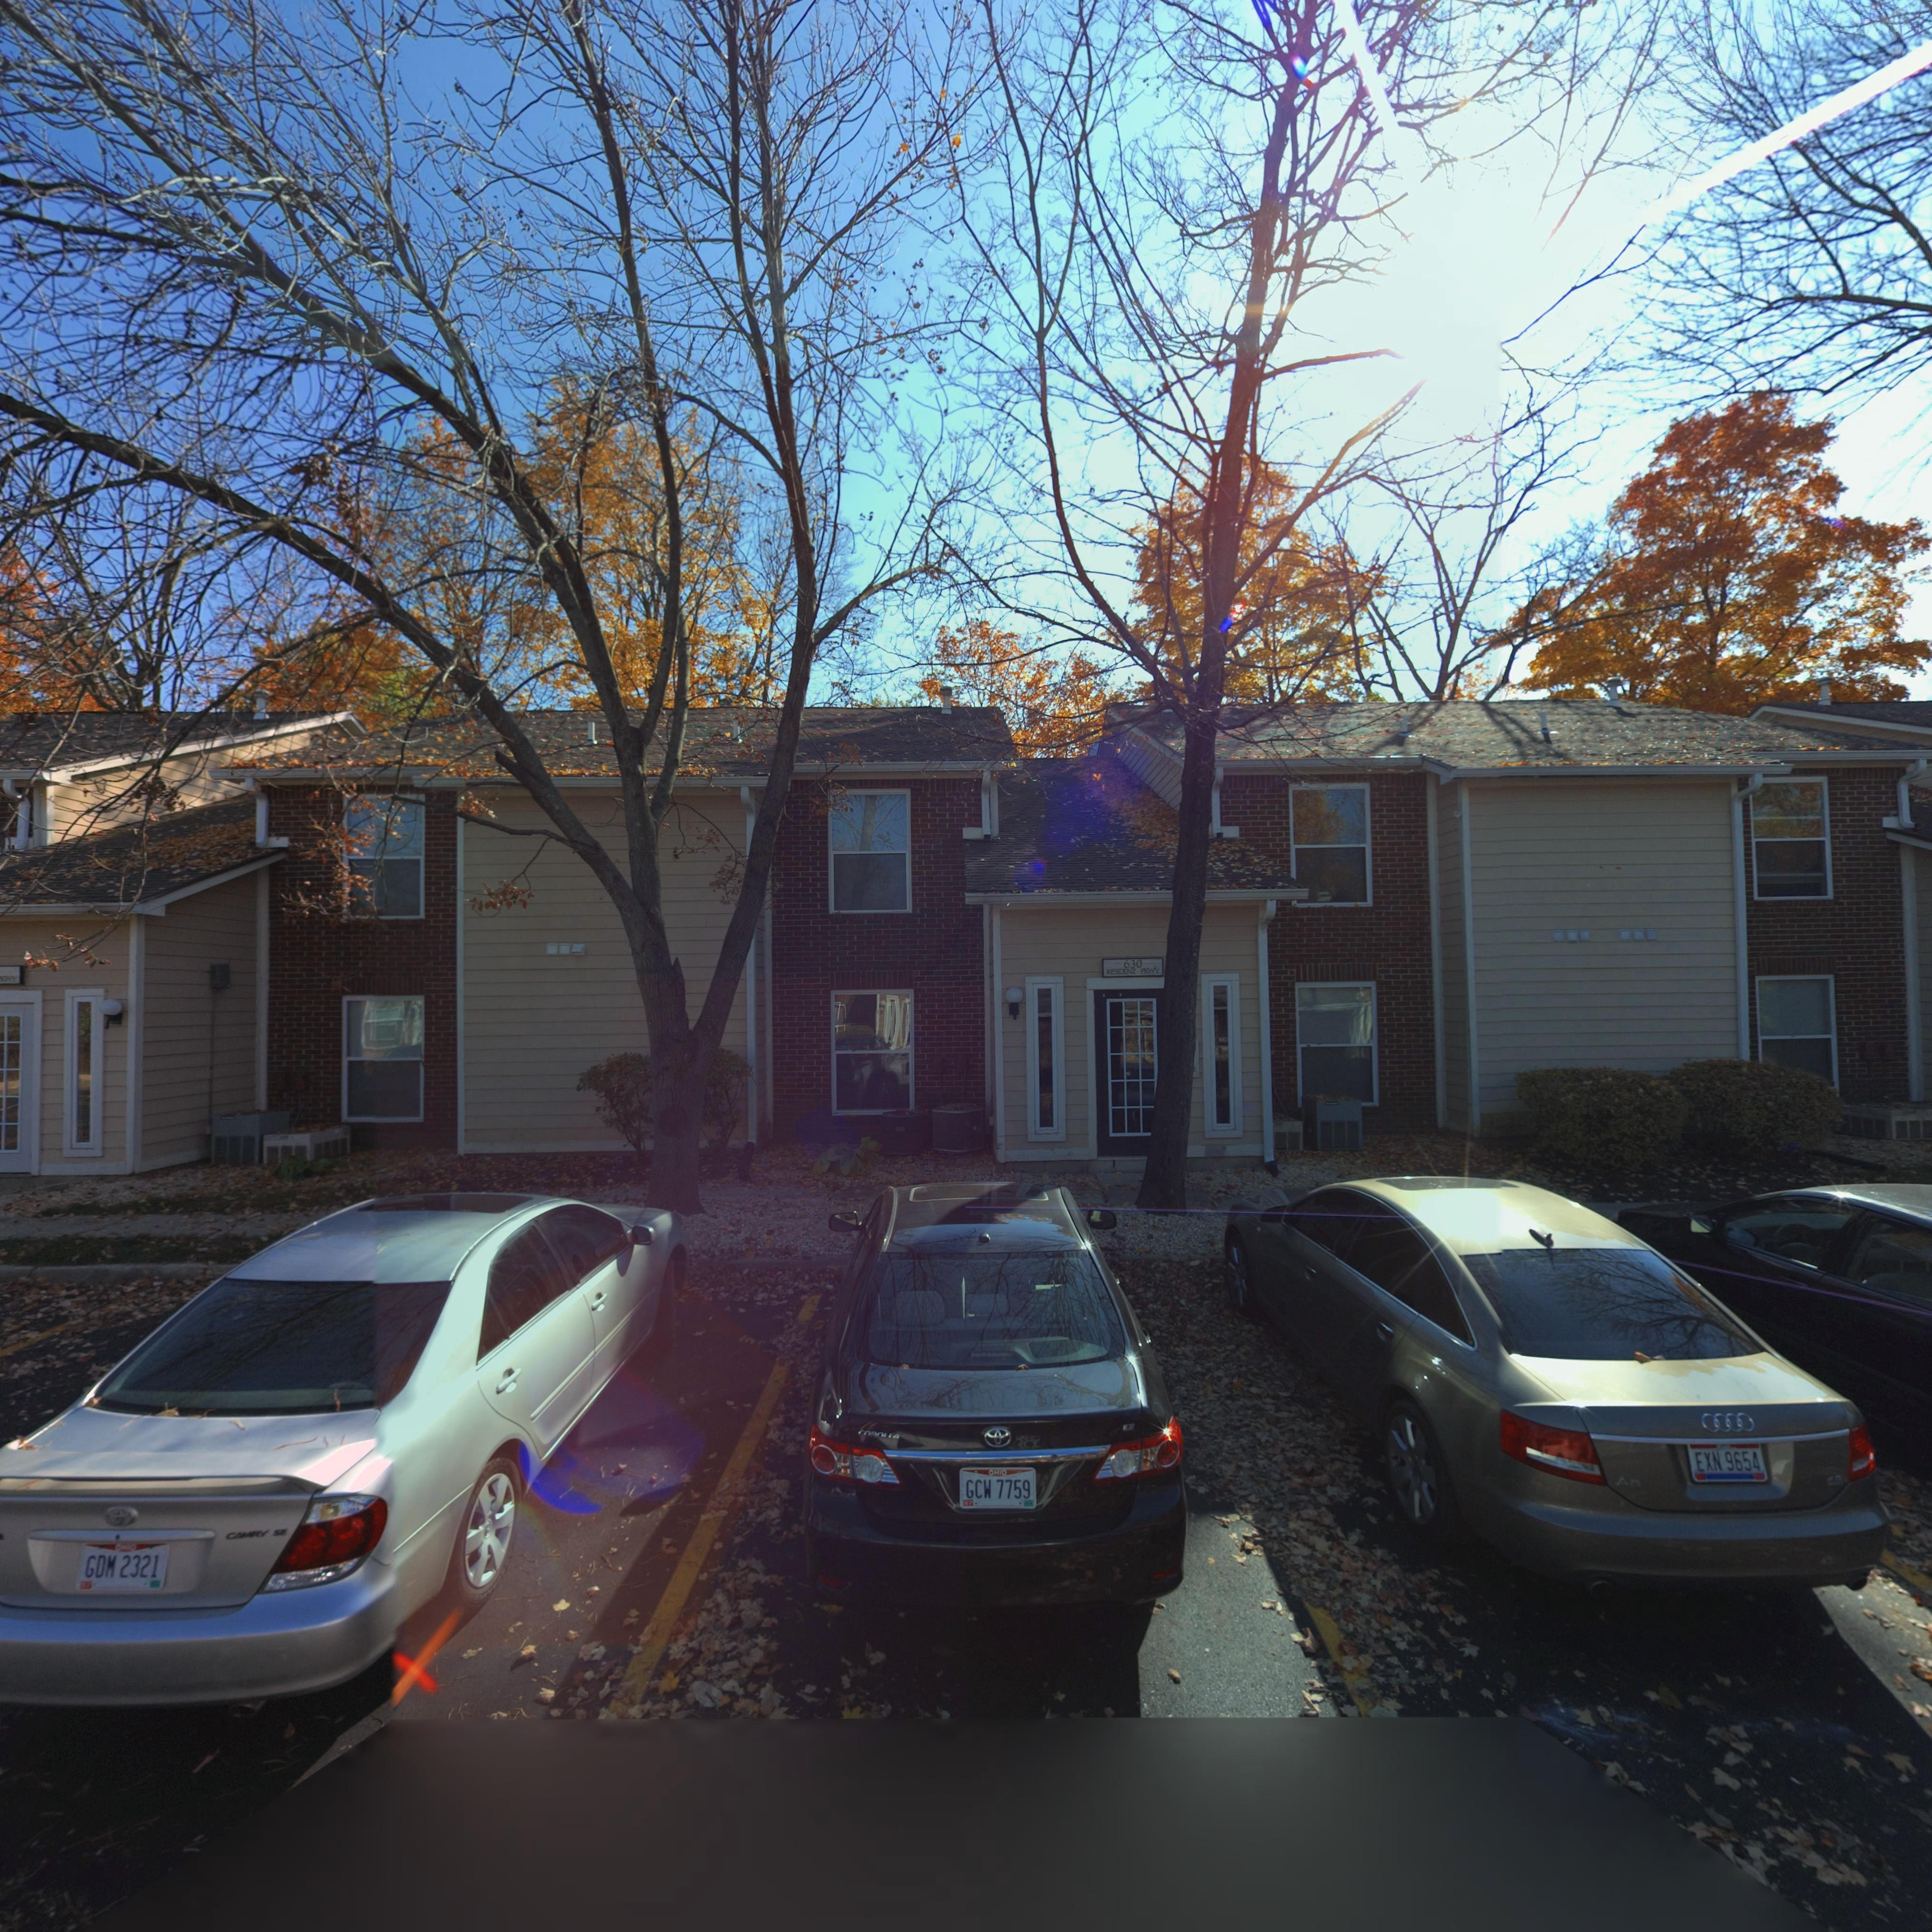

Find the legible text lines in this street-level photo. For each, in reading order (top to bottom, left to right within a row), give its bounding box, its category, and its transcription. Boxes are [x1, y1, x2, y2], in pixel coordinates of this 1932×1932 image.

[1123, 958, 1143, 969] StreetNumber: 630
[1106, 967, 1161, 976] StreetName: RES*DENZ PKWY